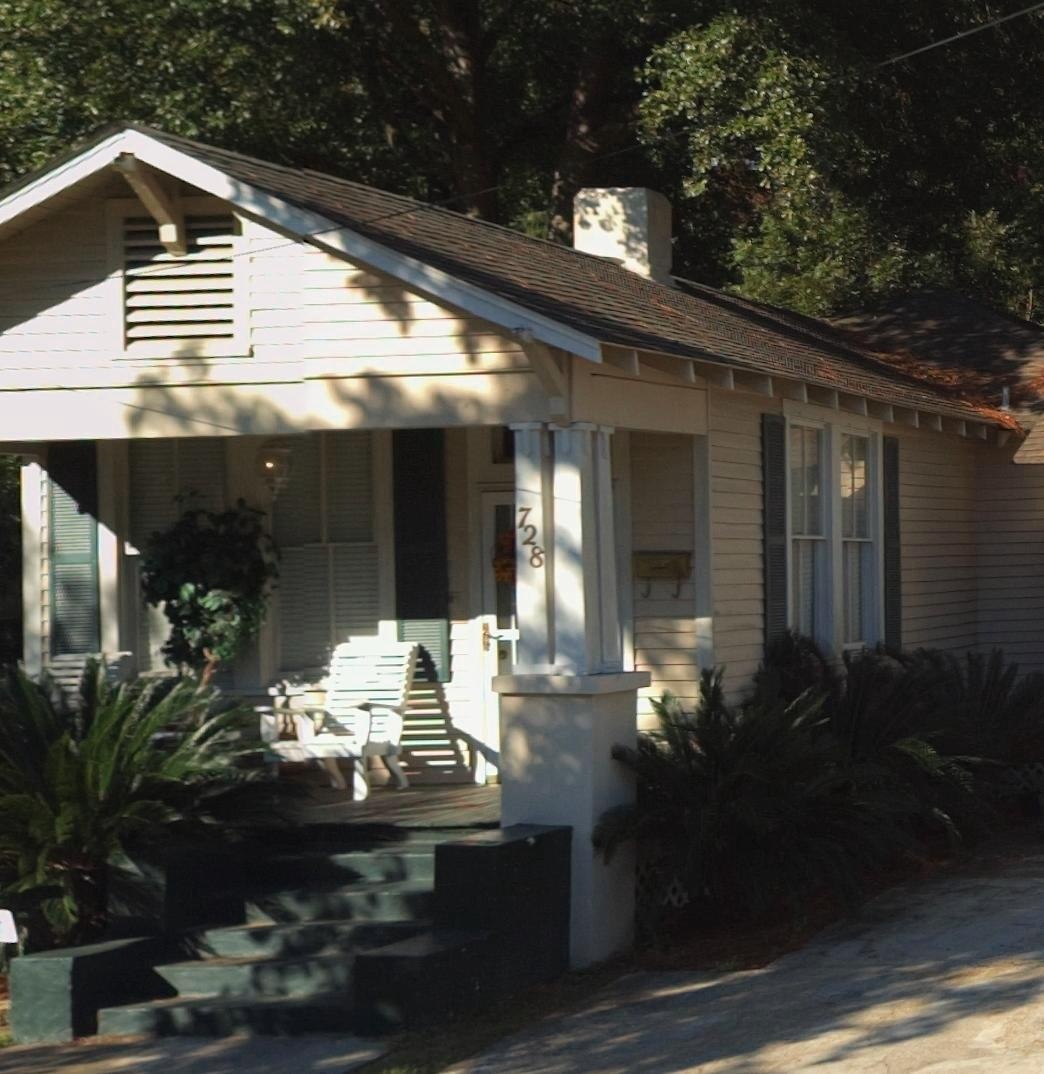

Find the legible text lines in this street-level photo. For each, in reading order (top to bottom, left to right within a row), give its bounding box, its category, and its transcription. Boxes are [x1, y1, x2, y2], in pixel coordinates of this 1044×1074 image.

[515, 505, 547, 572] StreetNumber: 728